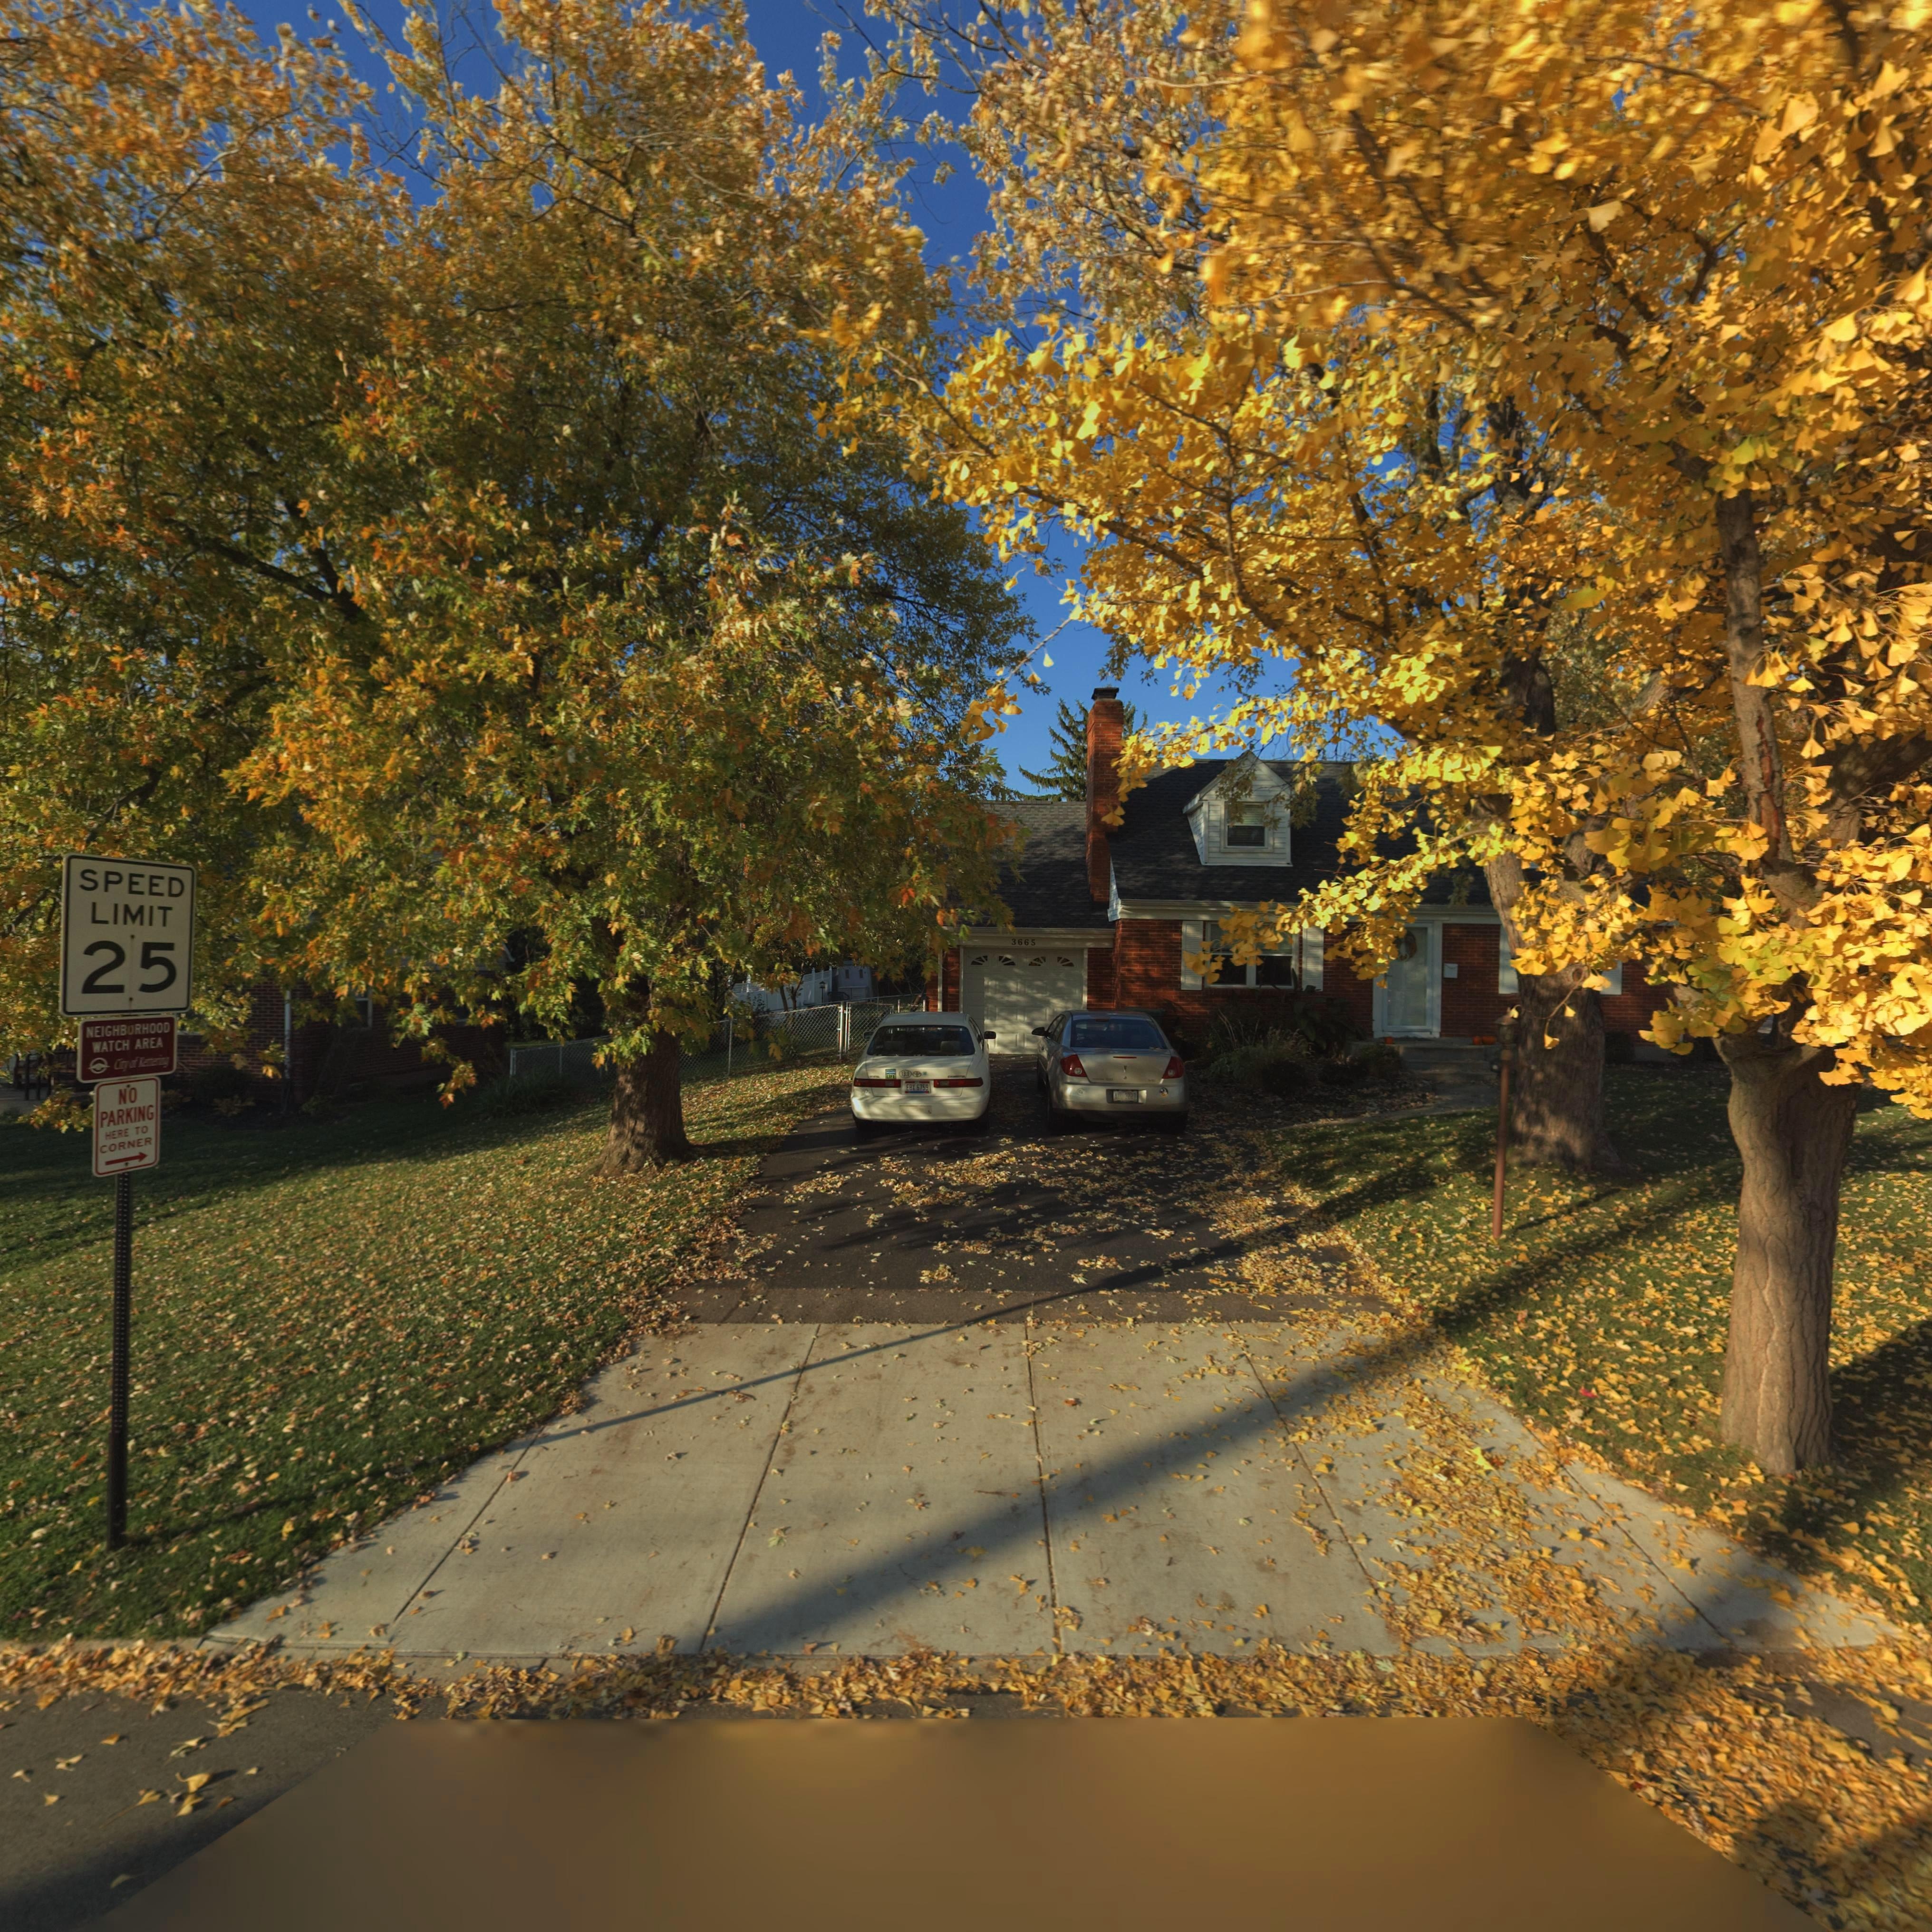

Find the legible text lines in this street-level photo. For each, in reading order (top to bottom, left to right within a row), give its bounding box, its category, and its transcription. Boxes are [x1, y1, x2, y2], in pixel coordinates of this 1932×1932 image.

[1010, 937, 1036, 947] StreetNumber: 3665